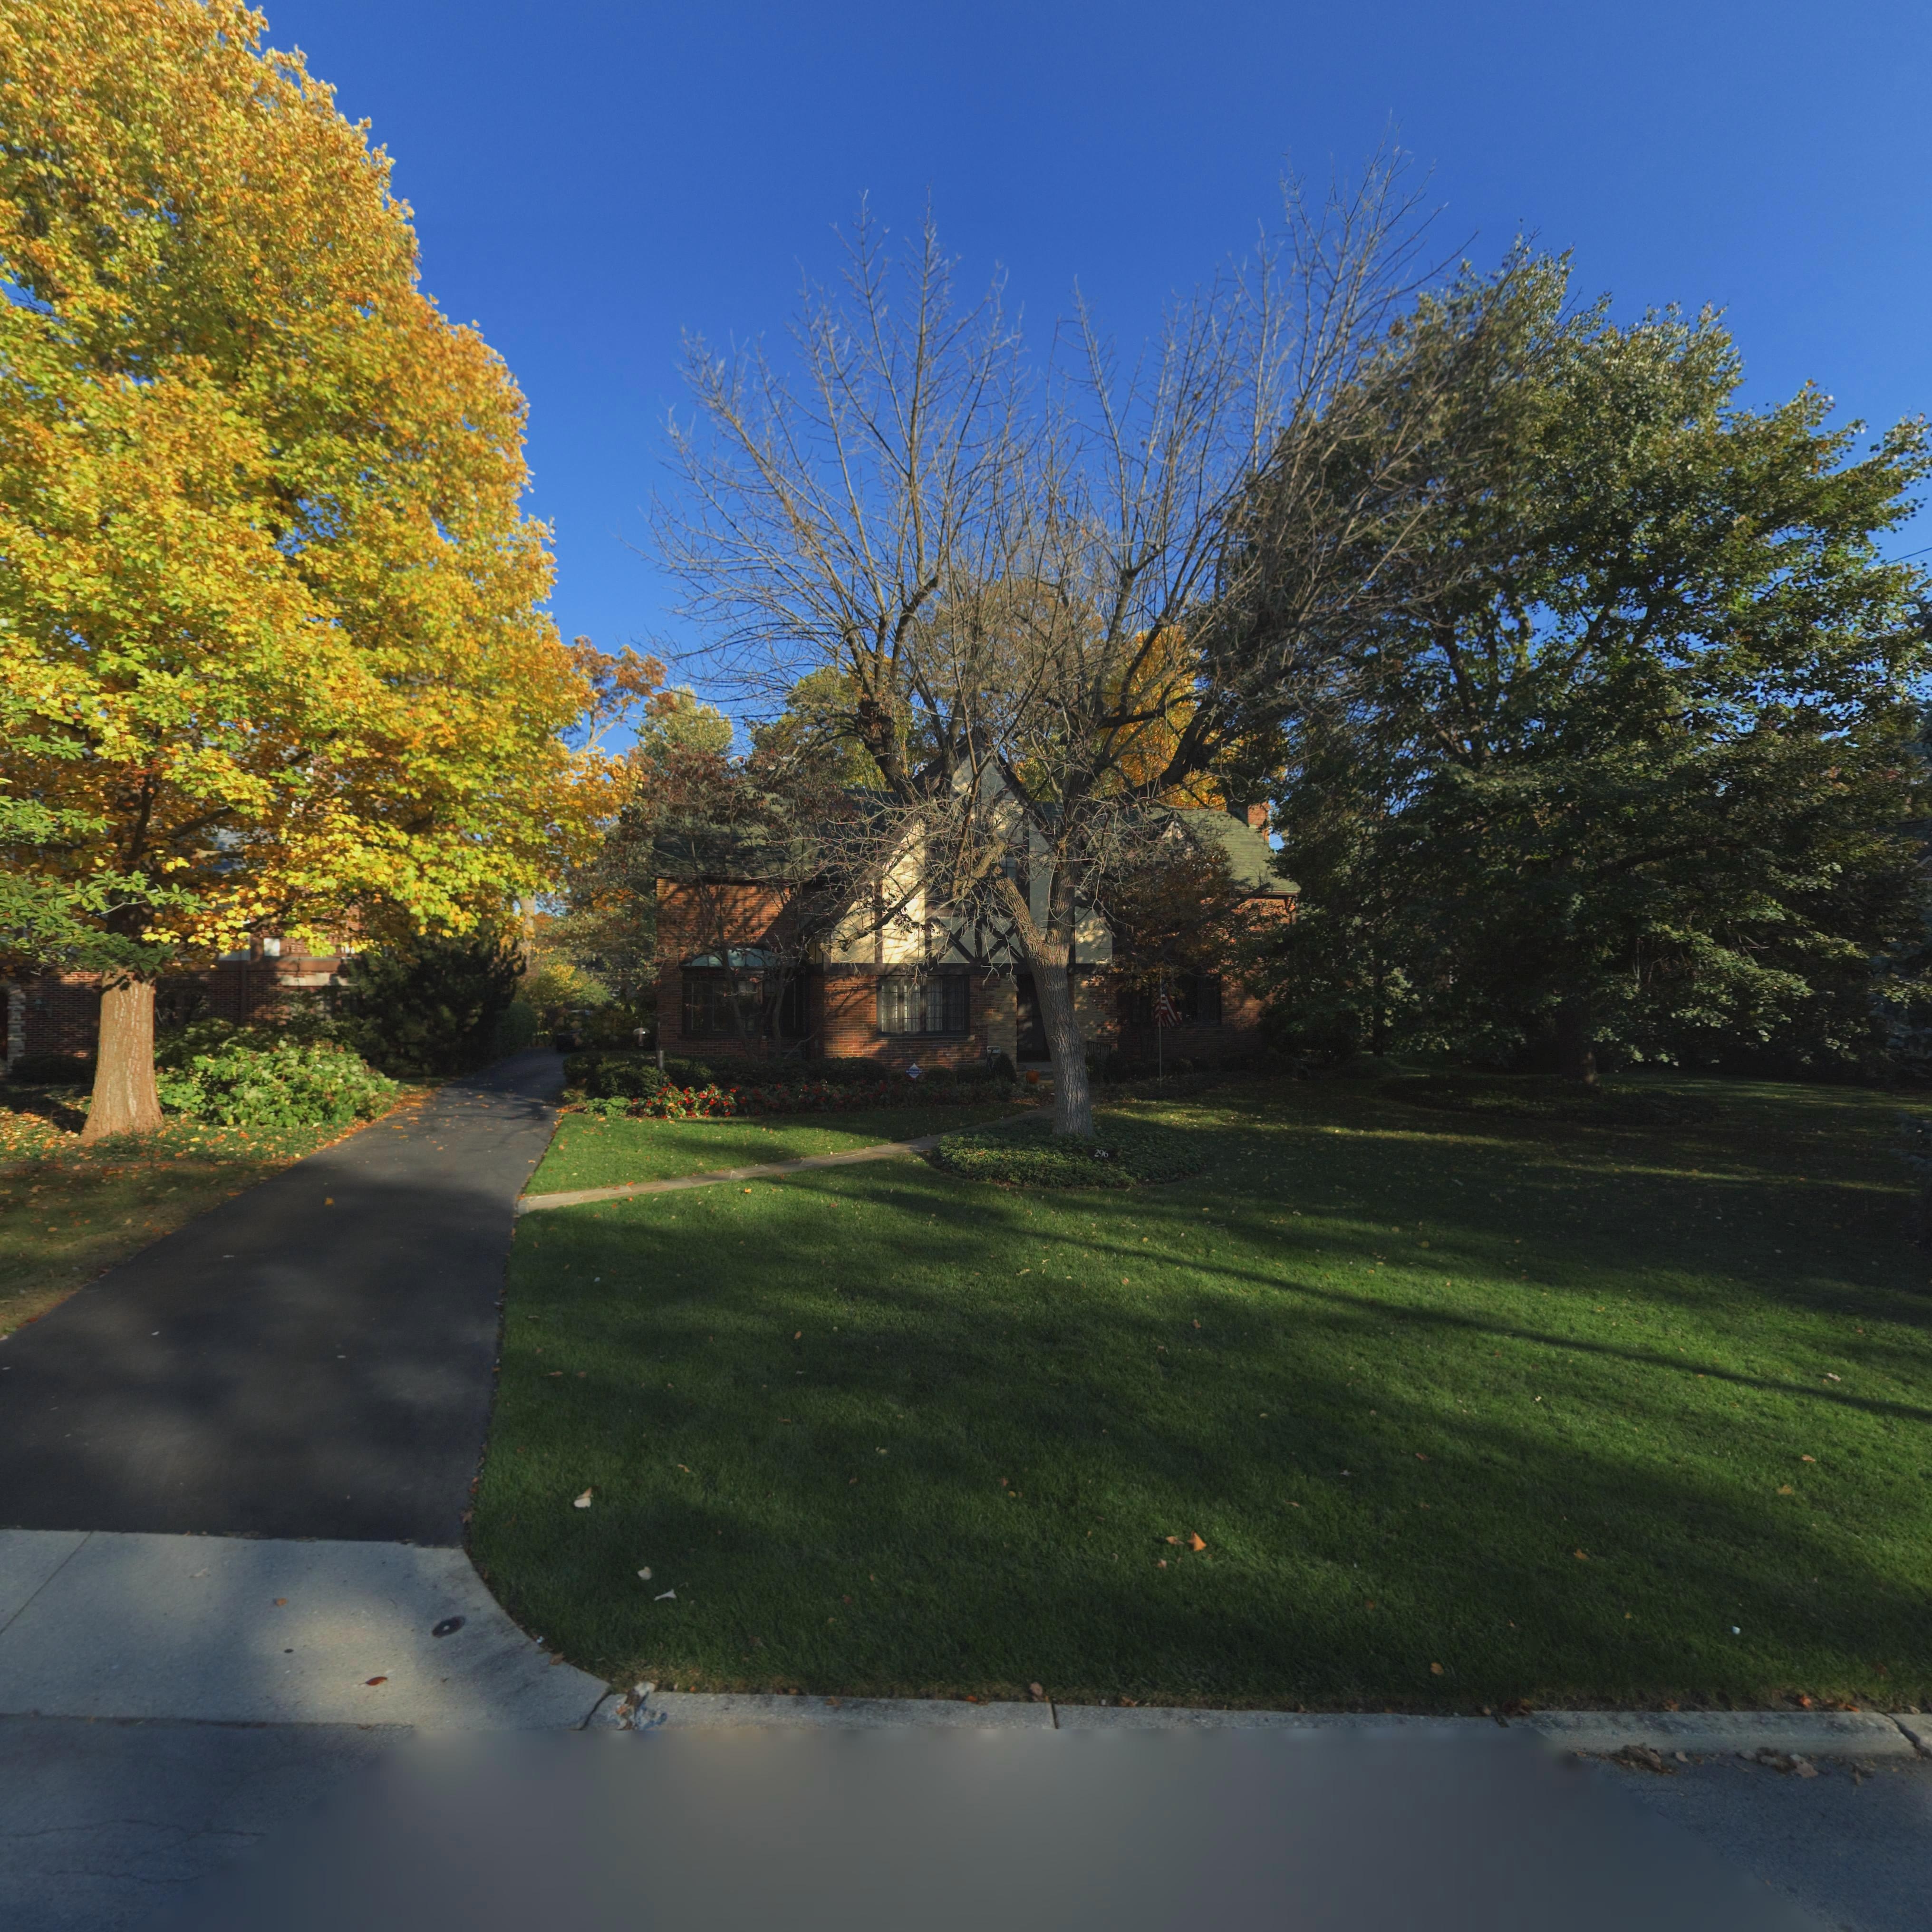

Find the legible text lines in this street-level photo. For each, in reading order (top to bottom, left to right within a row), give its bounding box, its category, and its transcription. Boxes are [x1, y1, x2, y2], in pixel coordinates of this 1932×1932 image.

[1092, 1147, 1111, 1159] StreetNumber: 296